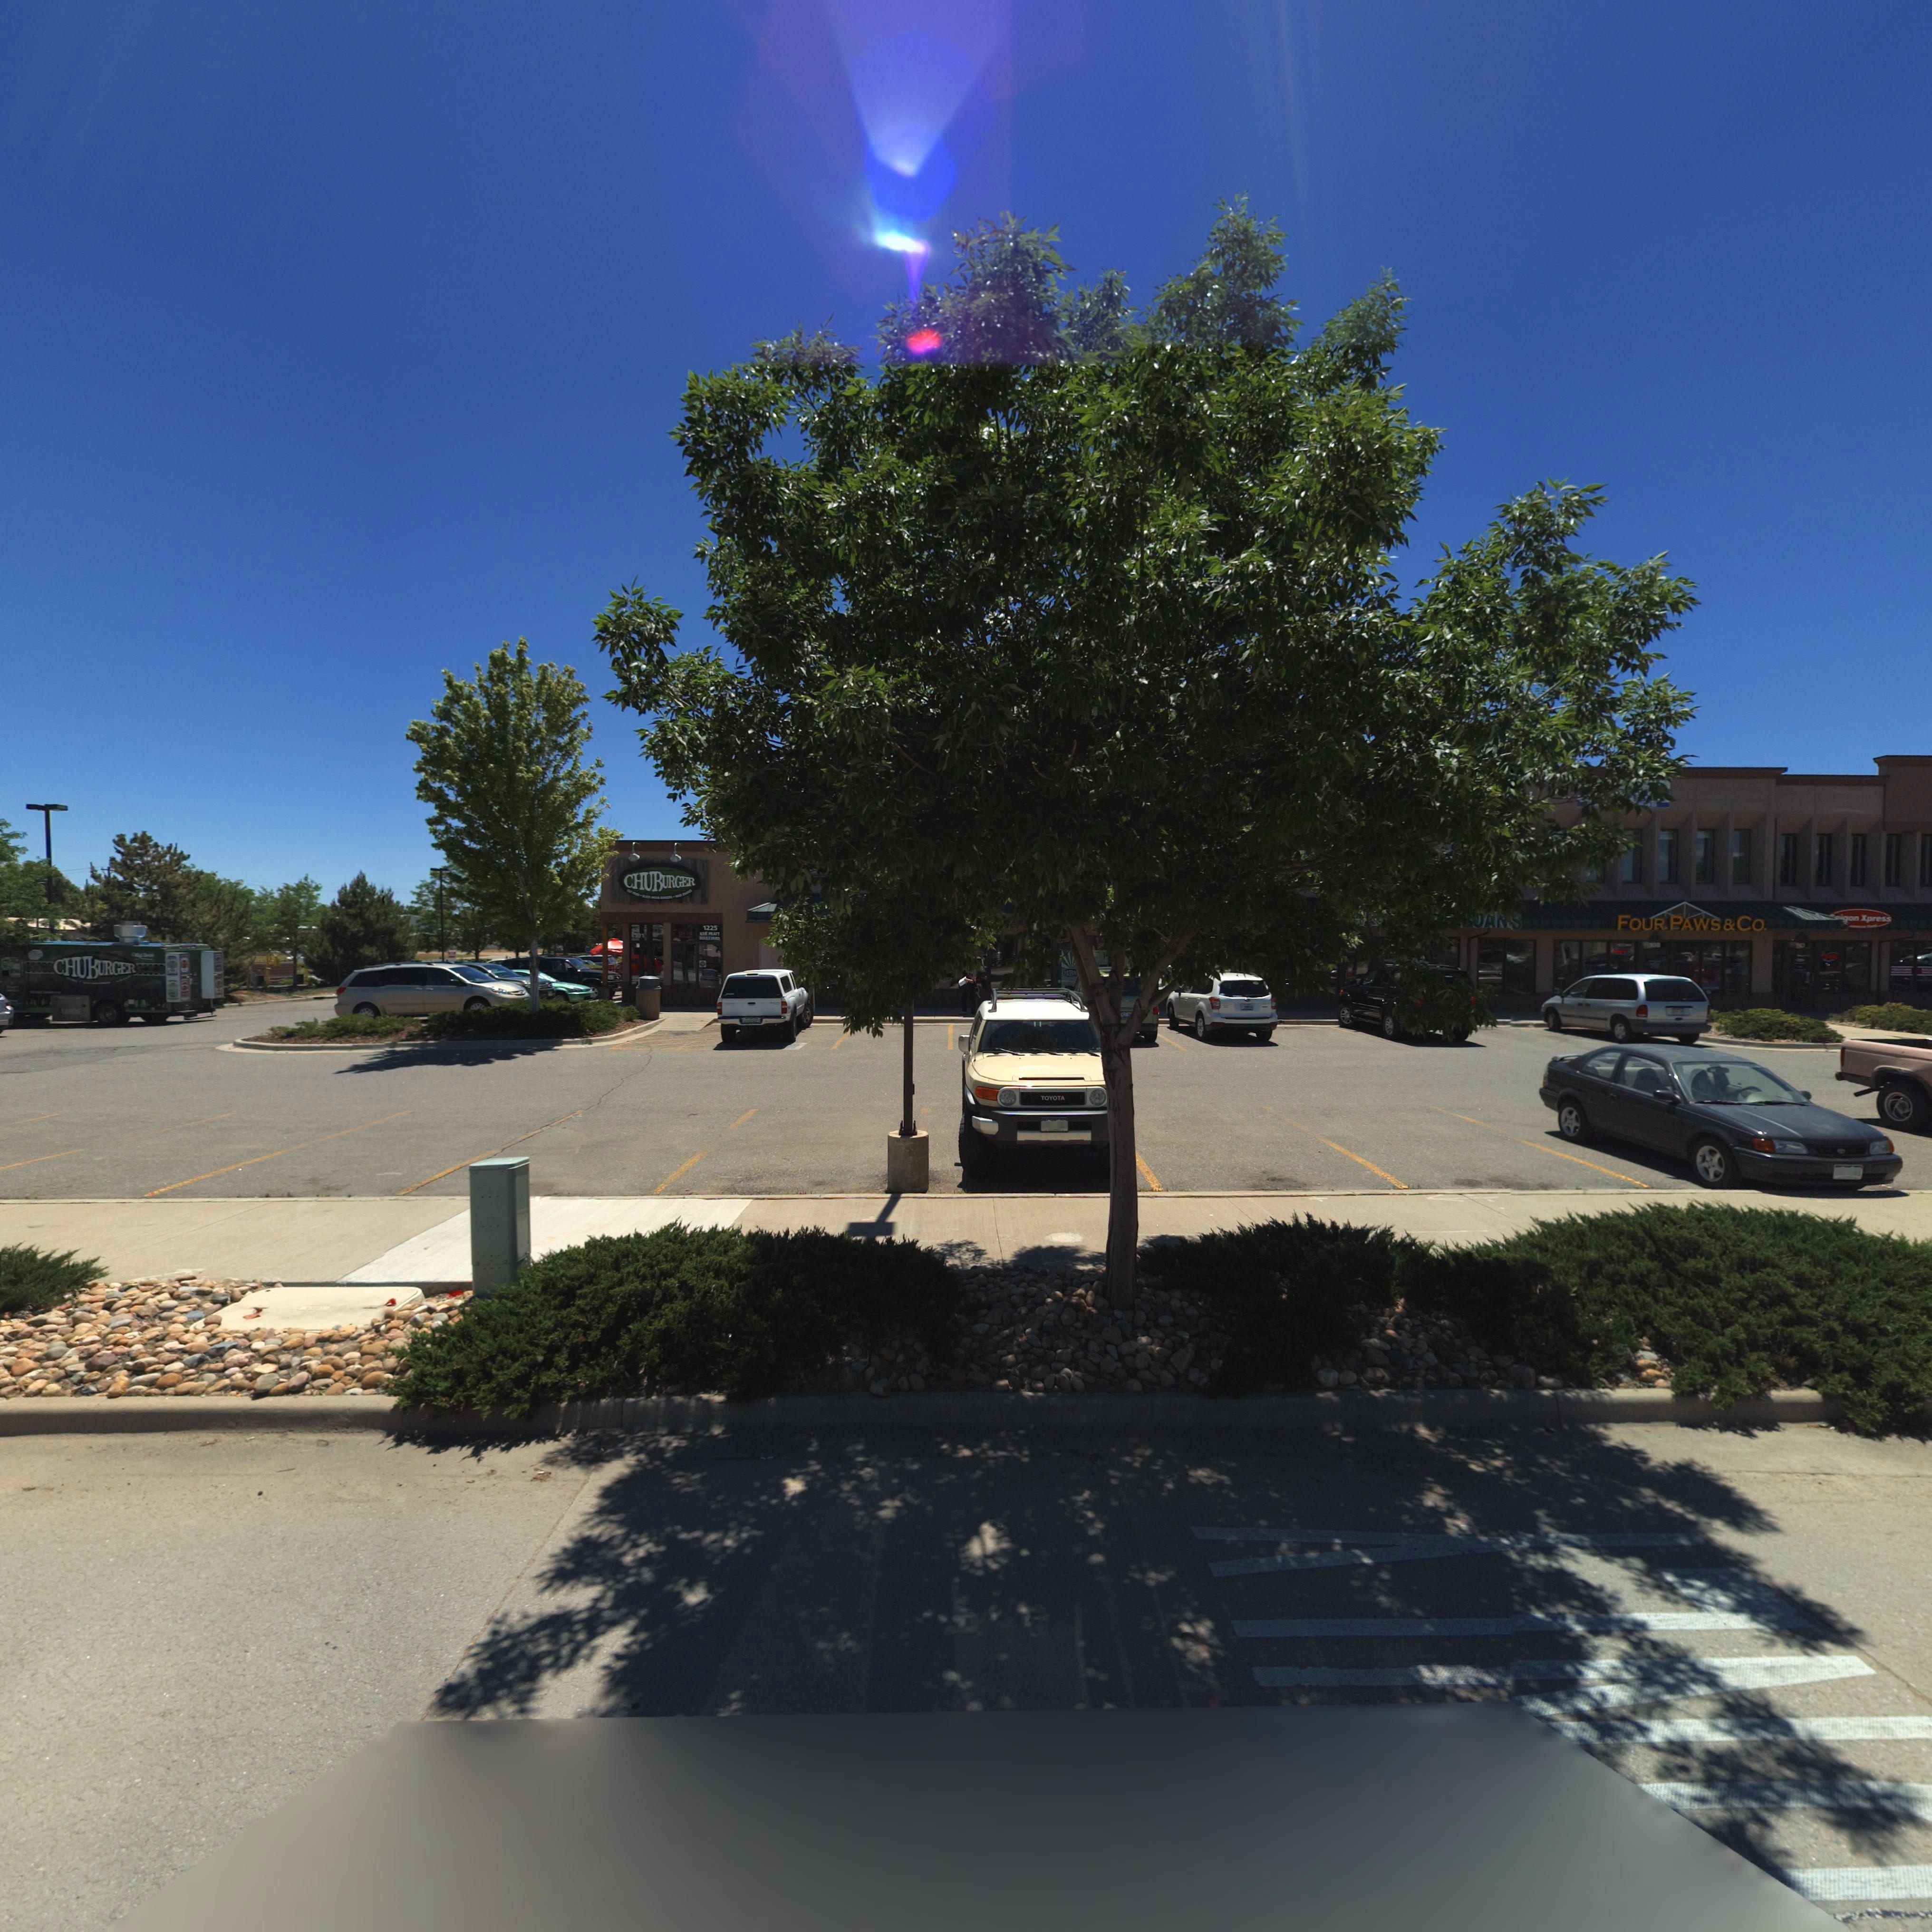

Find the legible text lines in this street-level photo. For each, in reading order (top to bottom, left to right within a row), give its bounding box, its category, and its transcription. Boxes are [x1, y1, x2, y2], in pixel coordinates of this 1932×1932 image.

[623, 870, 696, 892] BusinessName: CHUBURGER
[1617, 914, 1766, 932] BusinessName: FOUR PAWS&CO
[1843, 914, 1892, 924] BusinessName: *on Xpress